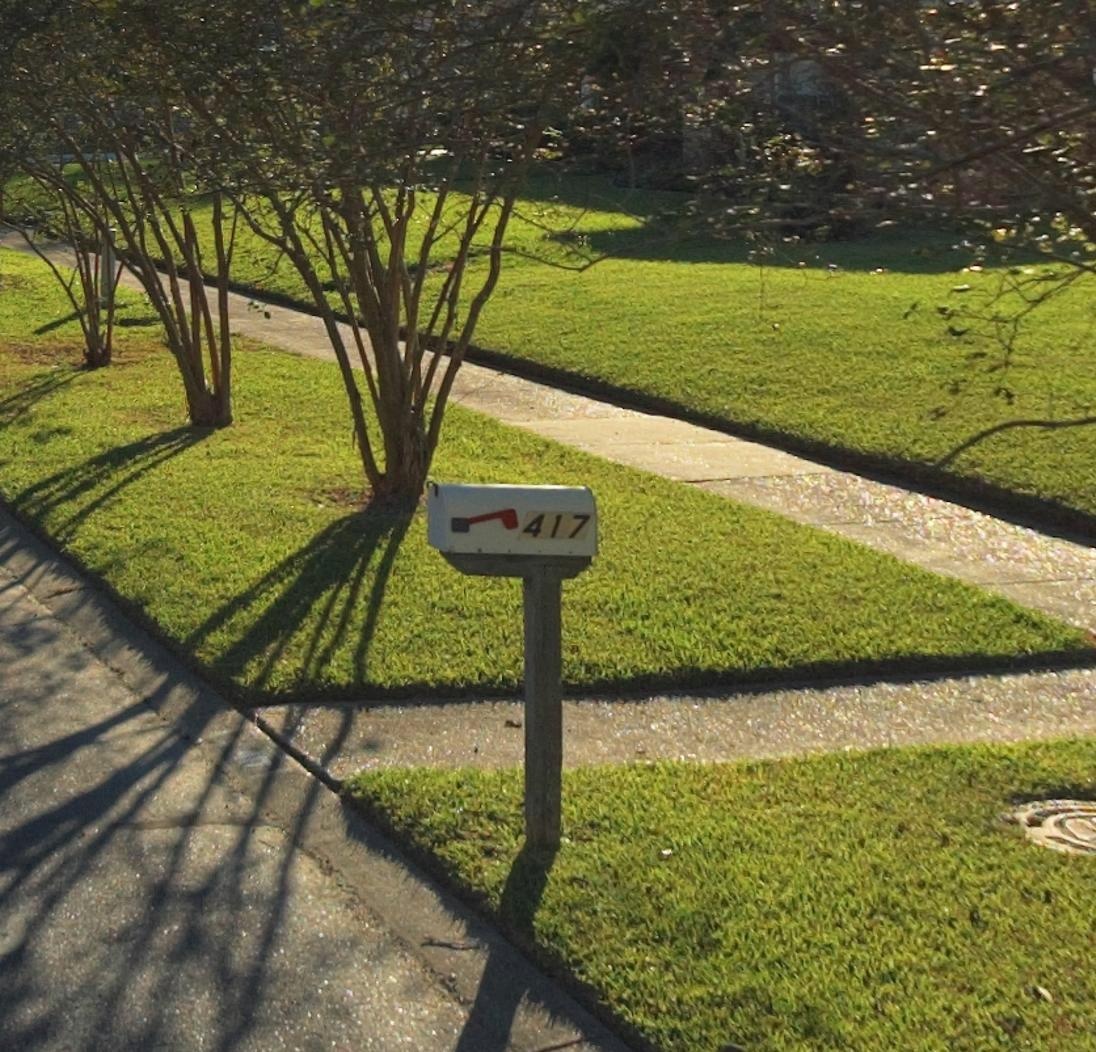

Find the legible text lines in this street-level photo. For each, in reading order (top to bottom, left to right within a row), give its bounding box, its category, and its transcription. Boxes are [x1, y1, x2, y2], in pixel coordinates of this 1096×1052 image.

[517, 513, 592, 538] StreetNumber: 417